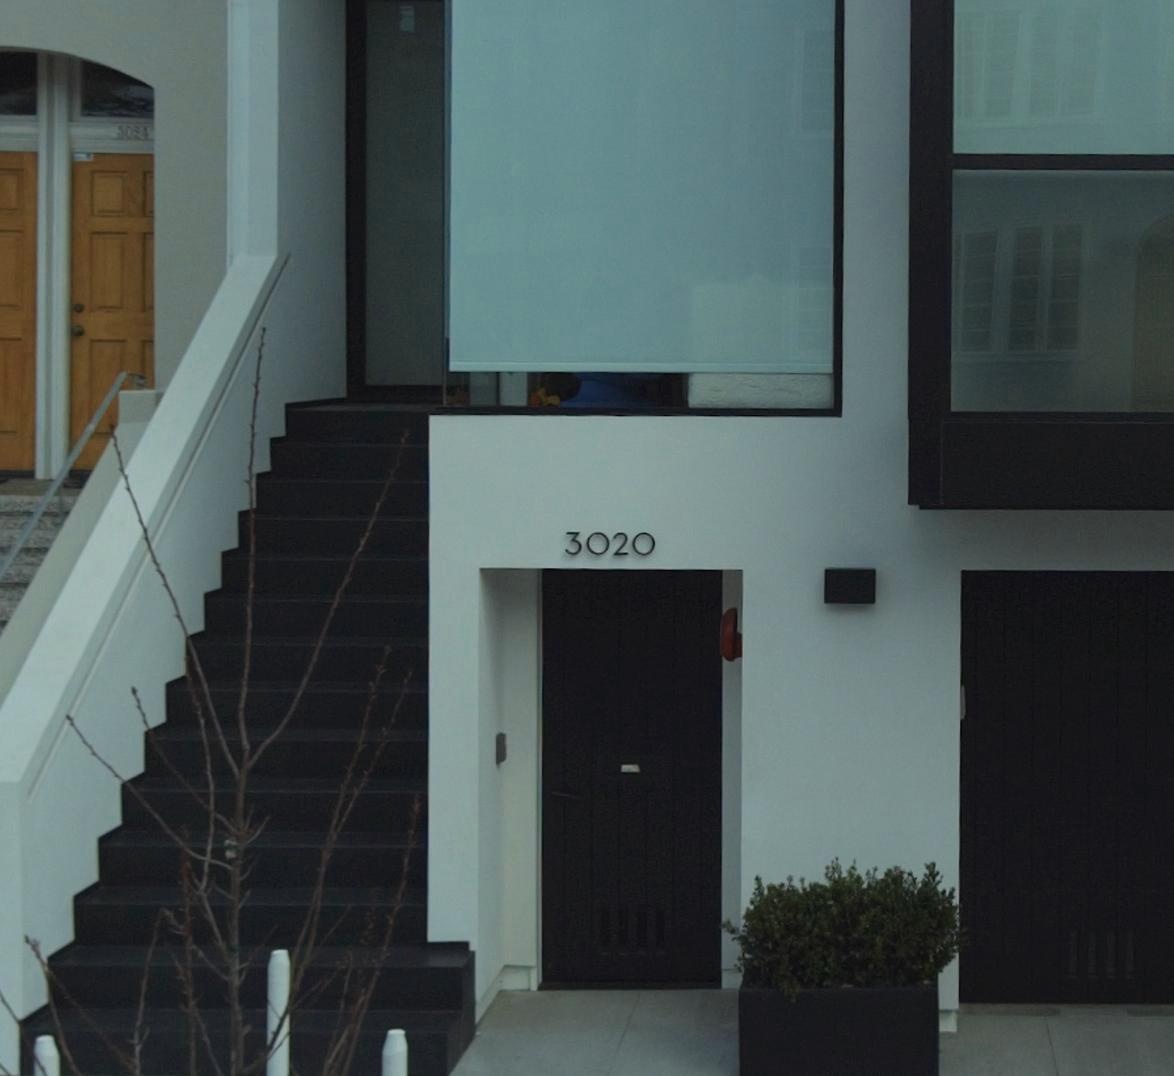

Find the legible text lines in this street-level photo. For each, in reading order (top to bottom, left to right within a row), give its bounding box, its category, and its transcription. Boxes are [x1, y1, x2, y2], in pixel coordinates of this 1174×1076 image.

[562, 529, 658, 558] StreetNumber: 3020